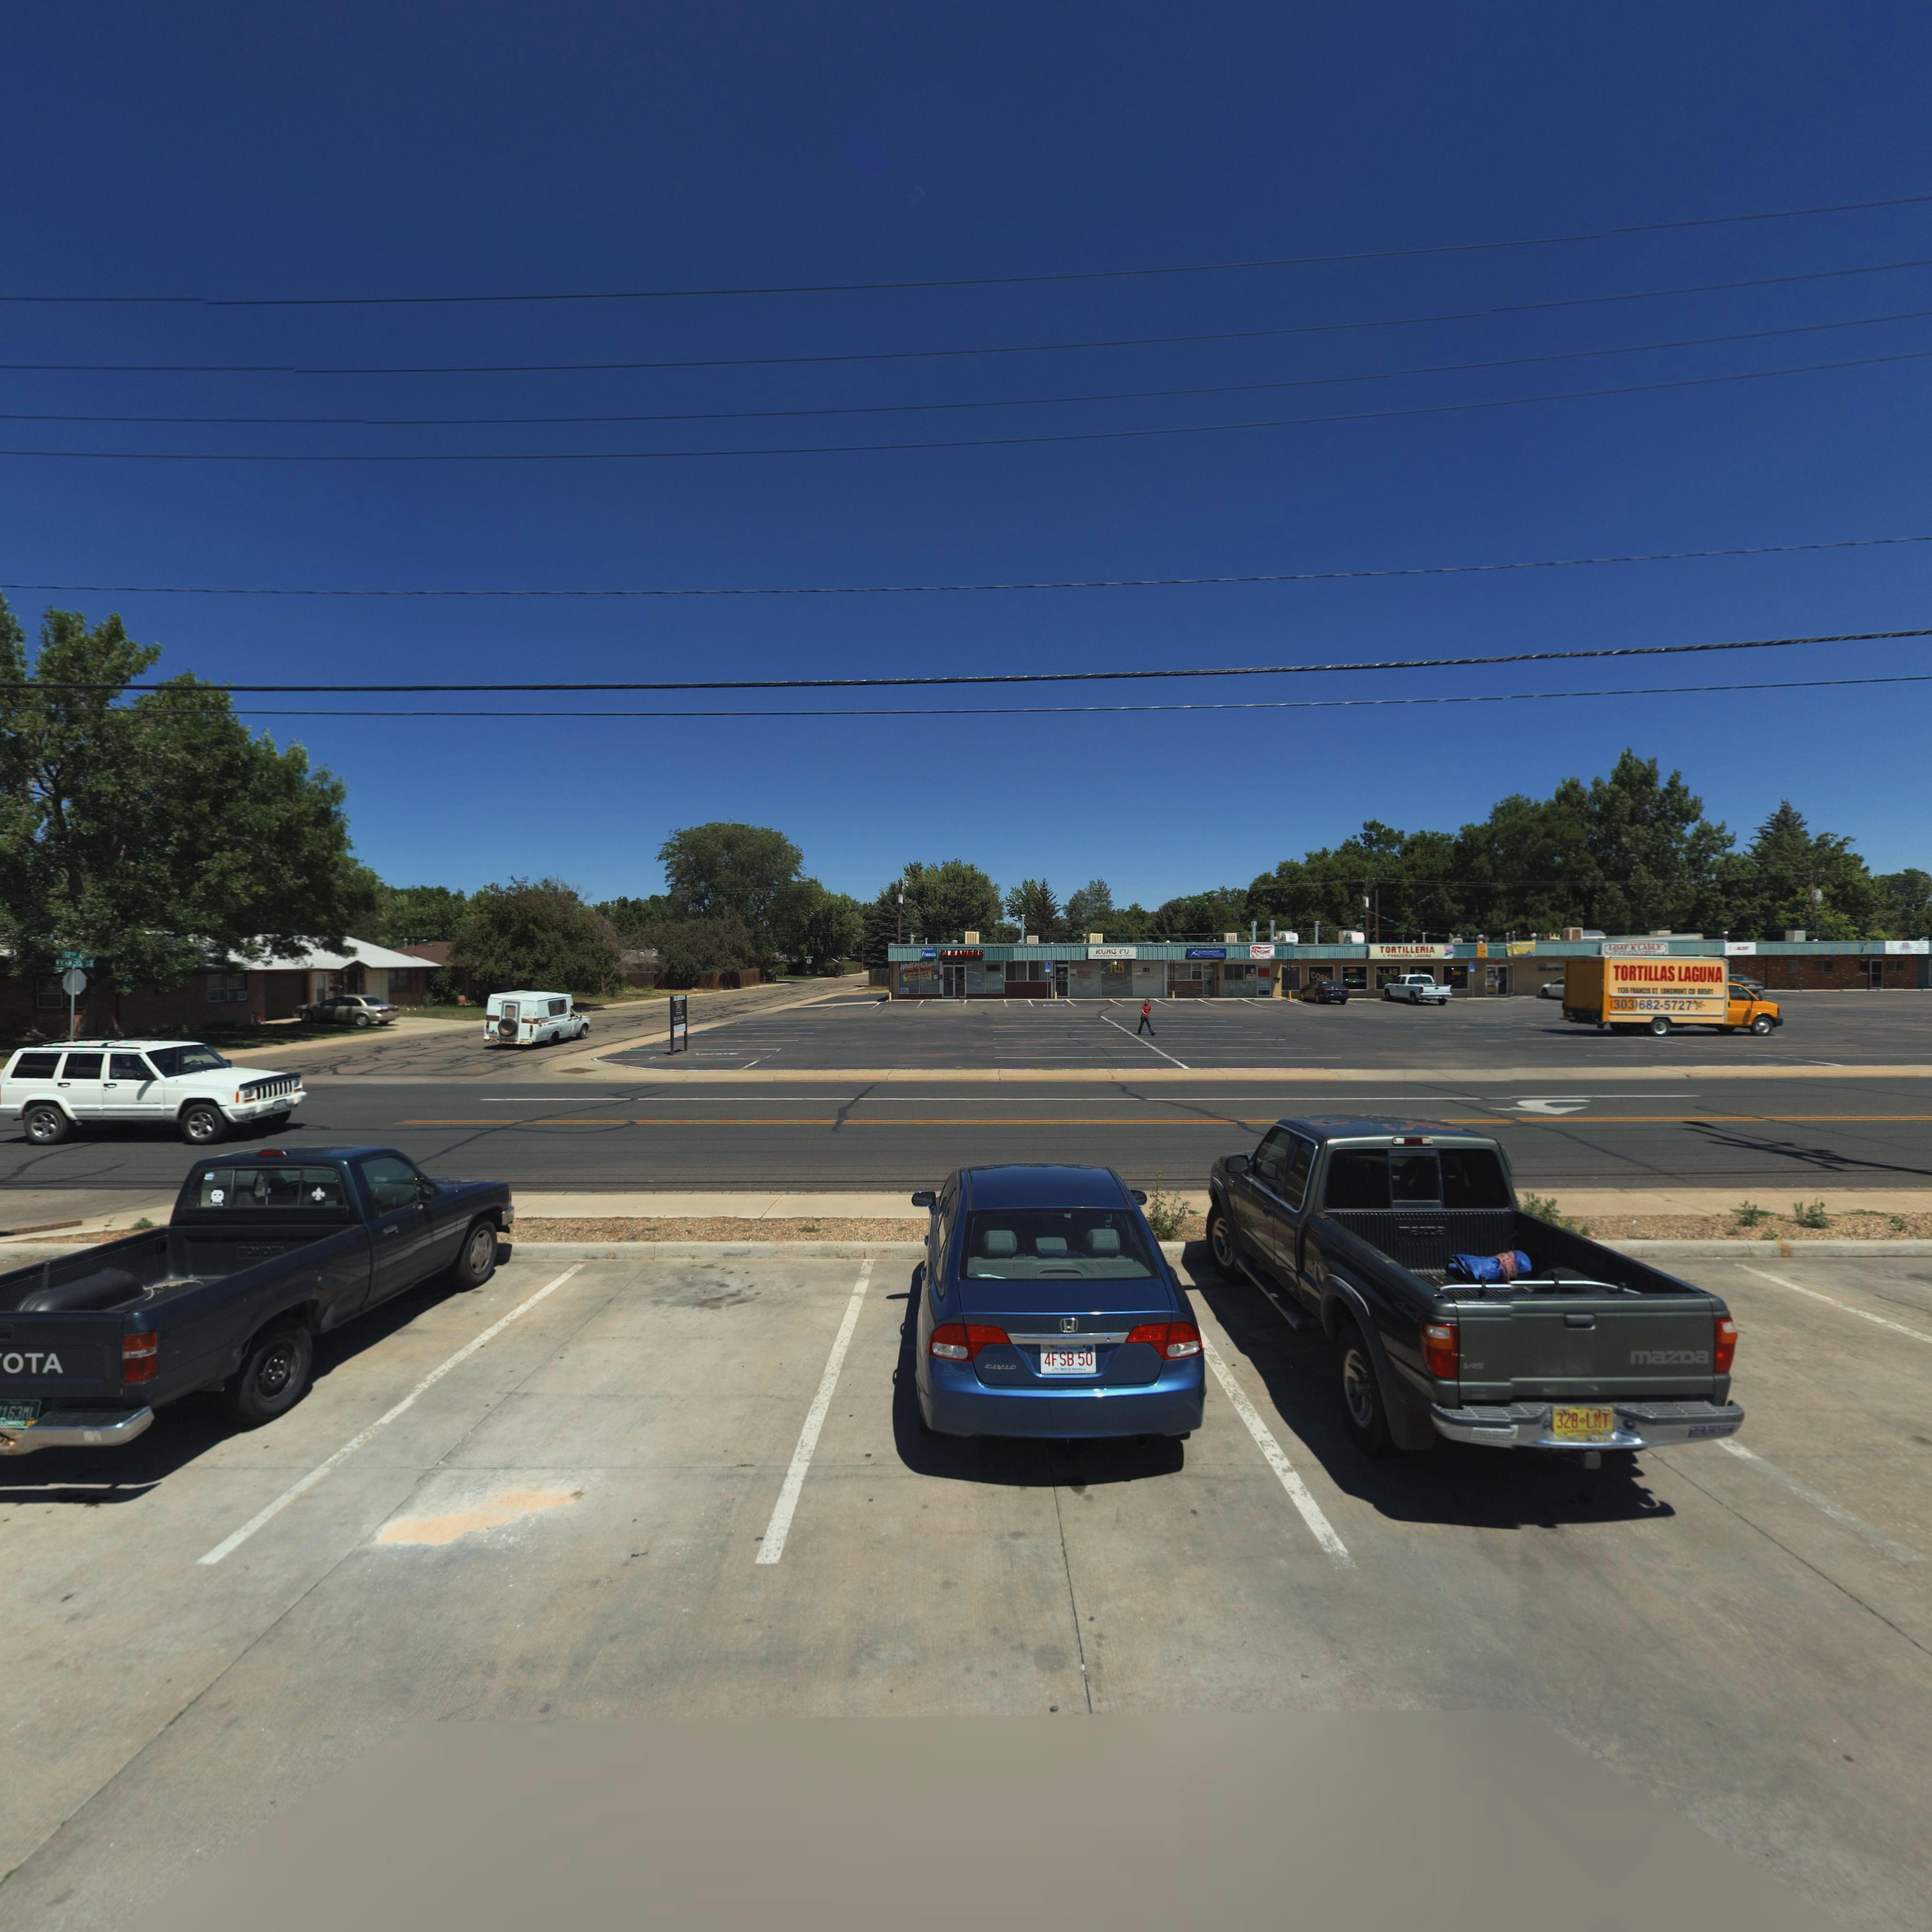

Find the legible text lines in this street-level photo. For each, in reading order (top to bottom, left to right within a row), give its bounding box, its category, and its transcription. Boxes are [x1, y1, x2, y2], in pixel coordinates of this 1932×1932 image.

[921, 951, 936, 956] BusinessName: Francis
[939, 949, 984, 958] BusinessName: CLEANERS
[1095, 947, 1130, 954] BusinessName: KUNG FU
[1379, 946, 1435, 953] BusinessName: TORTILLERIA
[1386, 953, 1431, 957] BusinessName: PA**** LA***
[1608, 944, 1662, 951] BusinessName: LOAF * LADLE
[1736, 946, 1750, 950] None: A***
[55, 960, 94, 966] StreetNumber: ****IS ST